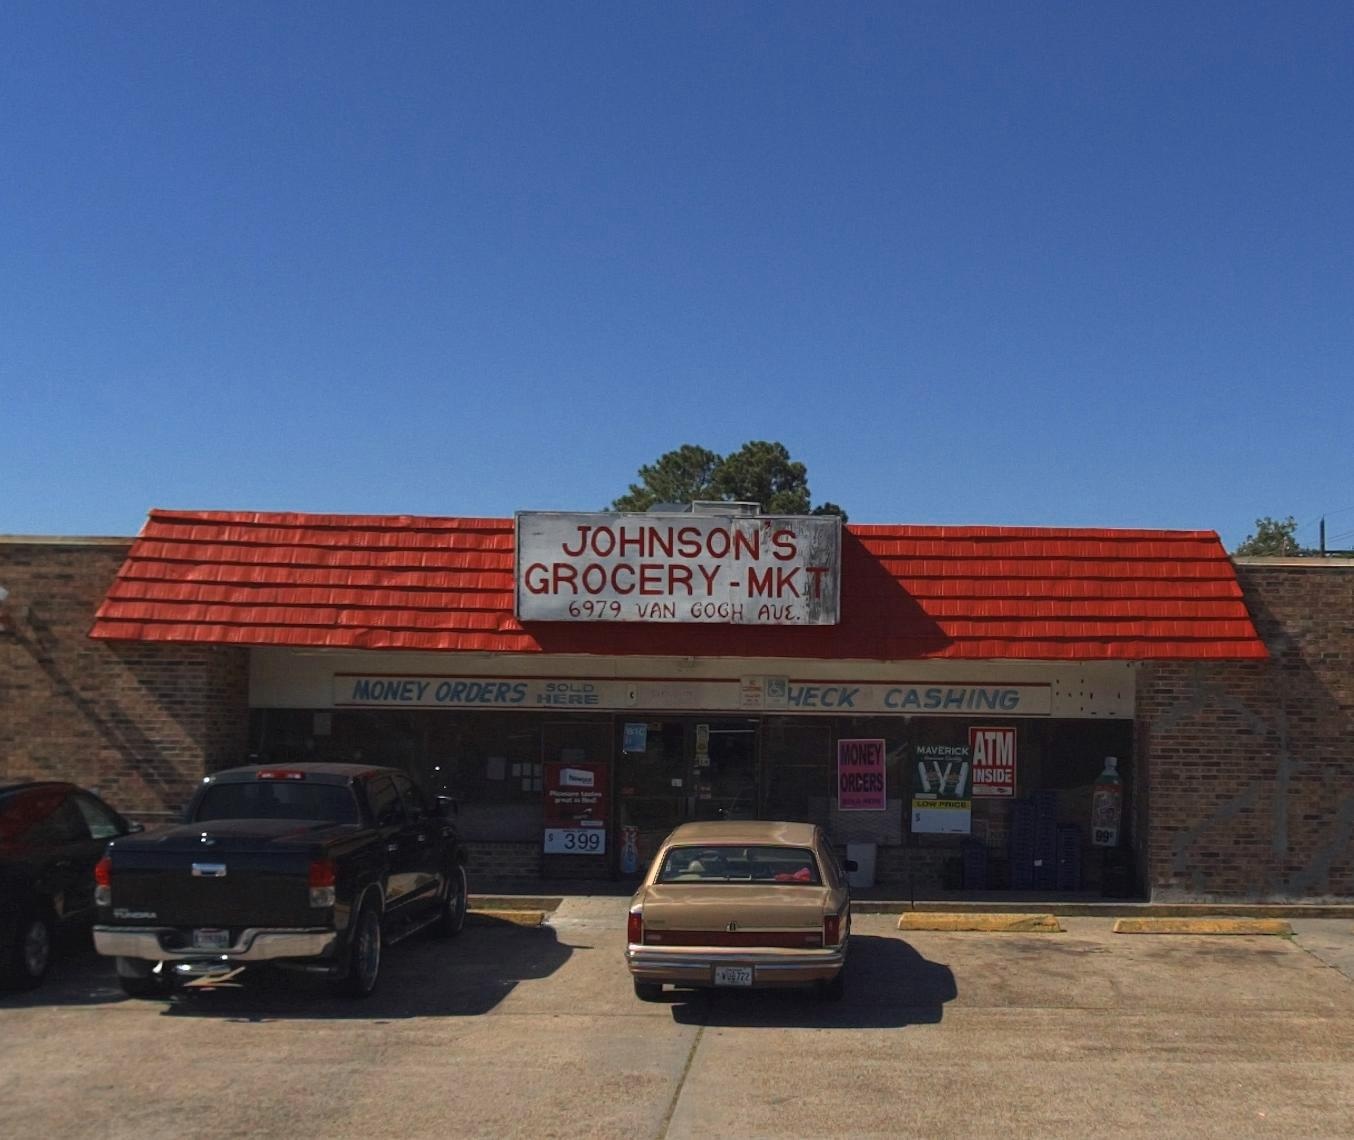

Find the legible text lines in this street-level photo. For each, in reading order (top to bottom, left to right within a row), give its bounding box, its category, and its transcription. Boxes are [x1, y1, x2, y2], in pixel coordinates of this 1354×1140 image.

[560, 522, 800, 564] BusinessName: JOHNSON'S
[520, 557, 834, 604] BusinessName: GROCERY - MKT
[567, 597, 624, 621] StreetNumber: 6979
[632, 599, 802, 624] StreetName: VAN GOGH AVE.
[347, 676, 534, 706] None: MONEY ORDERS
[534, 691, 601, 707] None: HERE
[543, 680, 596, 695] None: SOLD
[796, 683, 1026, 712] None: ECK CASHING
[623, 725, 646, 738] None: WIC
[837, 740, 885, 769] None: MONEY
[914, 743, 971, 758] None: MAVERICK
[970, 728, 1017, 768] None: ATM
[837, 770, 886, 795] None: ORDERS
[971, 765, 1014, 785] None: INSIDE
[915, 798, 969, 810] None: LOW PRICE
[561, 830, 601, 852] None: 3.99
[1092, 827, 1112, 846] None: 99
[735, 969, 753, 983] None: 722